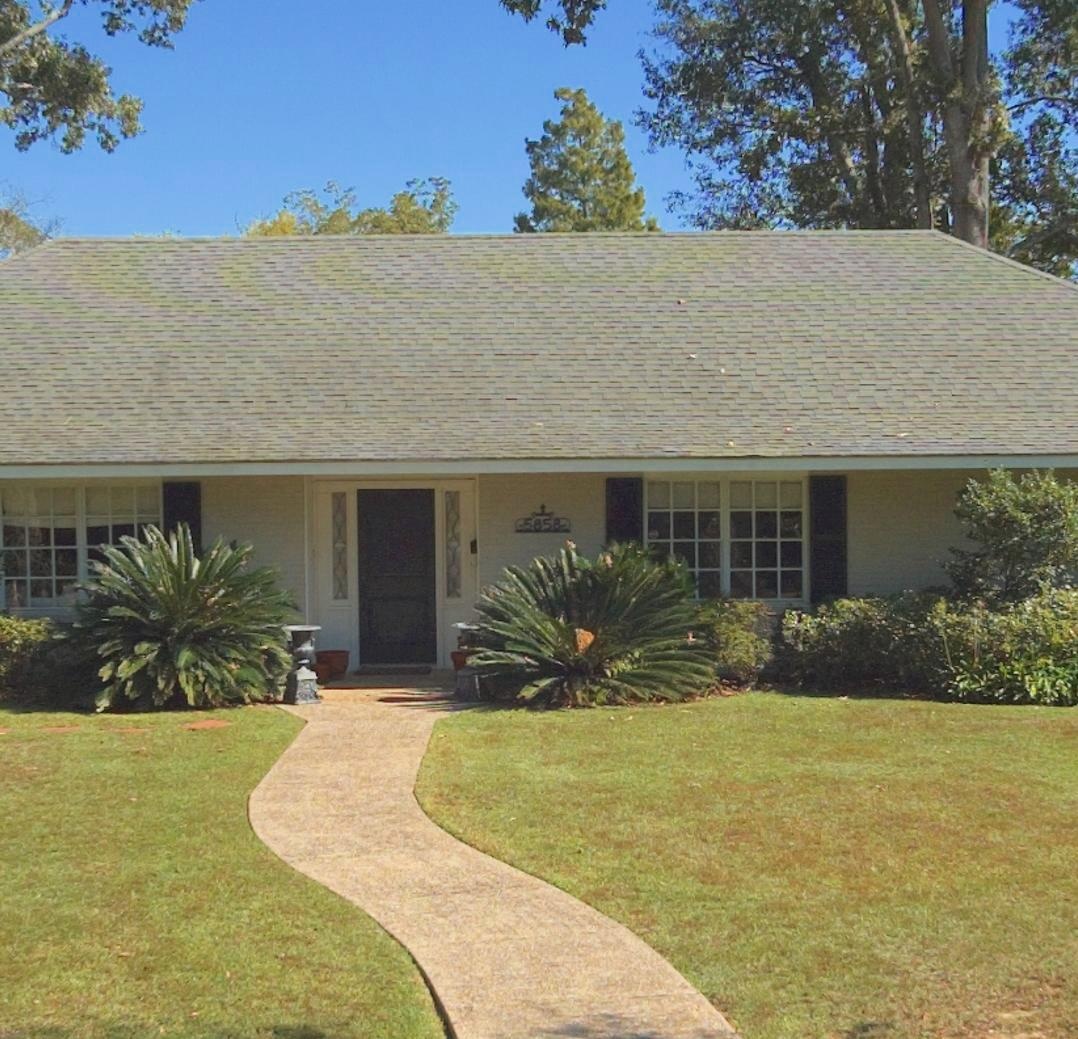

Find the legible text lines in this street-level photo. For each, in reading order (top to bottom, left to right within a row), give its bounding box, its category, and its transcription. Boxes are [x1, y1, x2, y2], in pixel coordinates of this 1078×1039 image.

[522, 517, 562, 532] StreetNumber: 5858